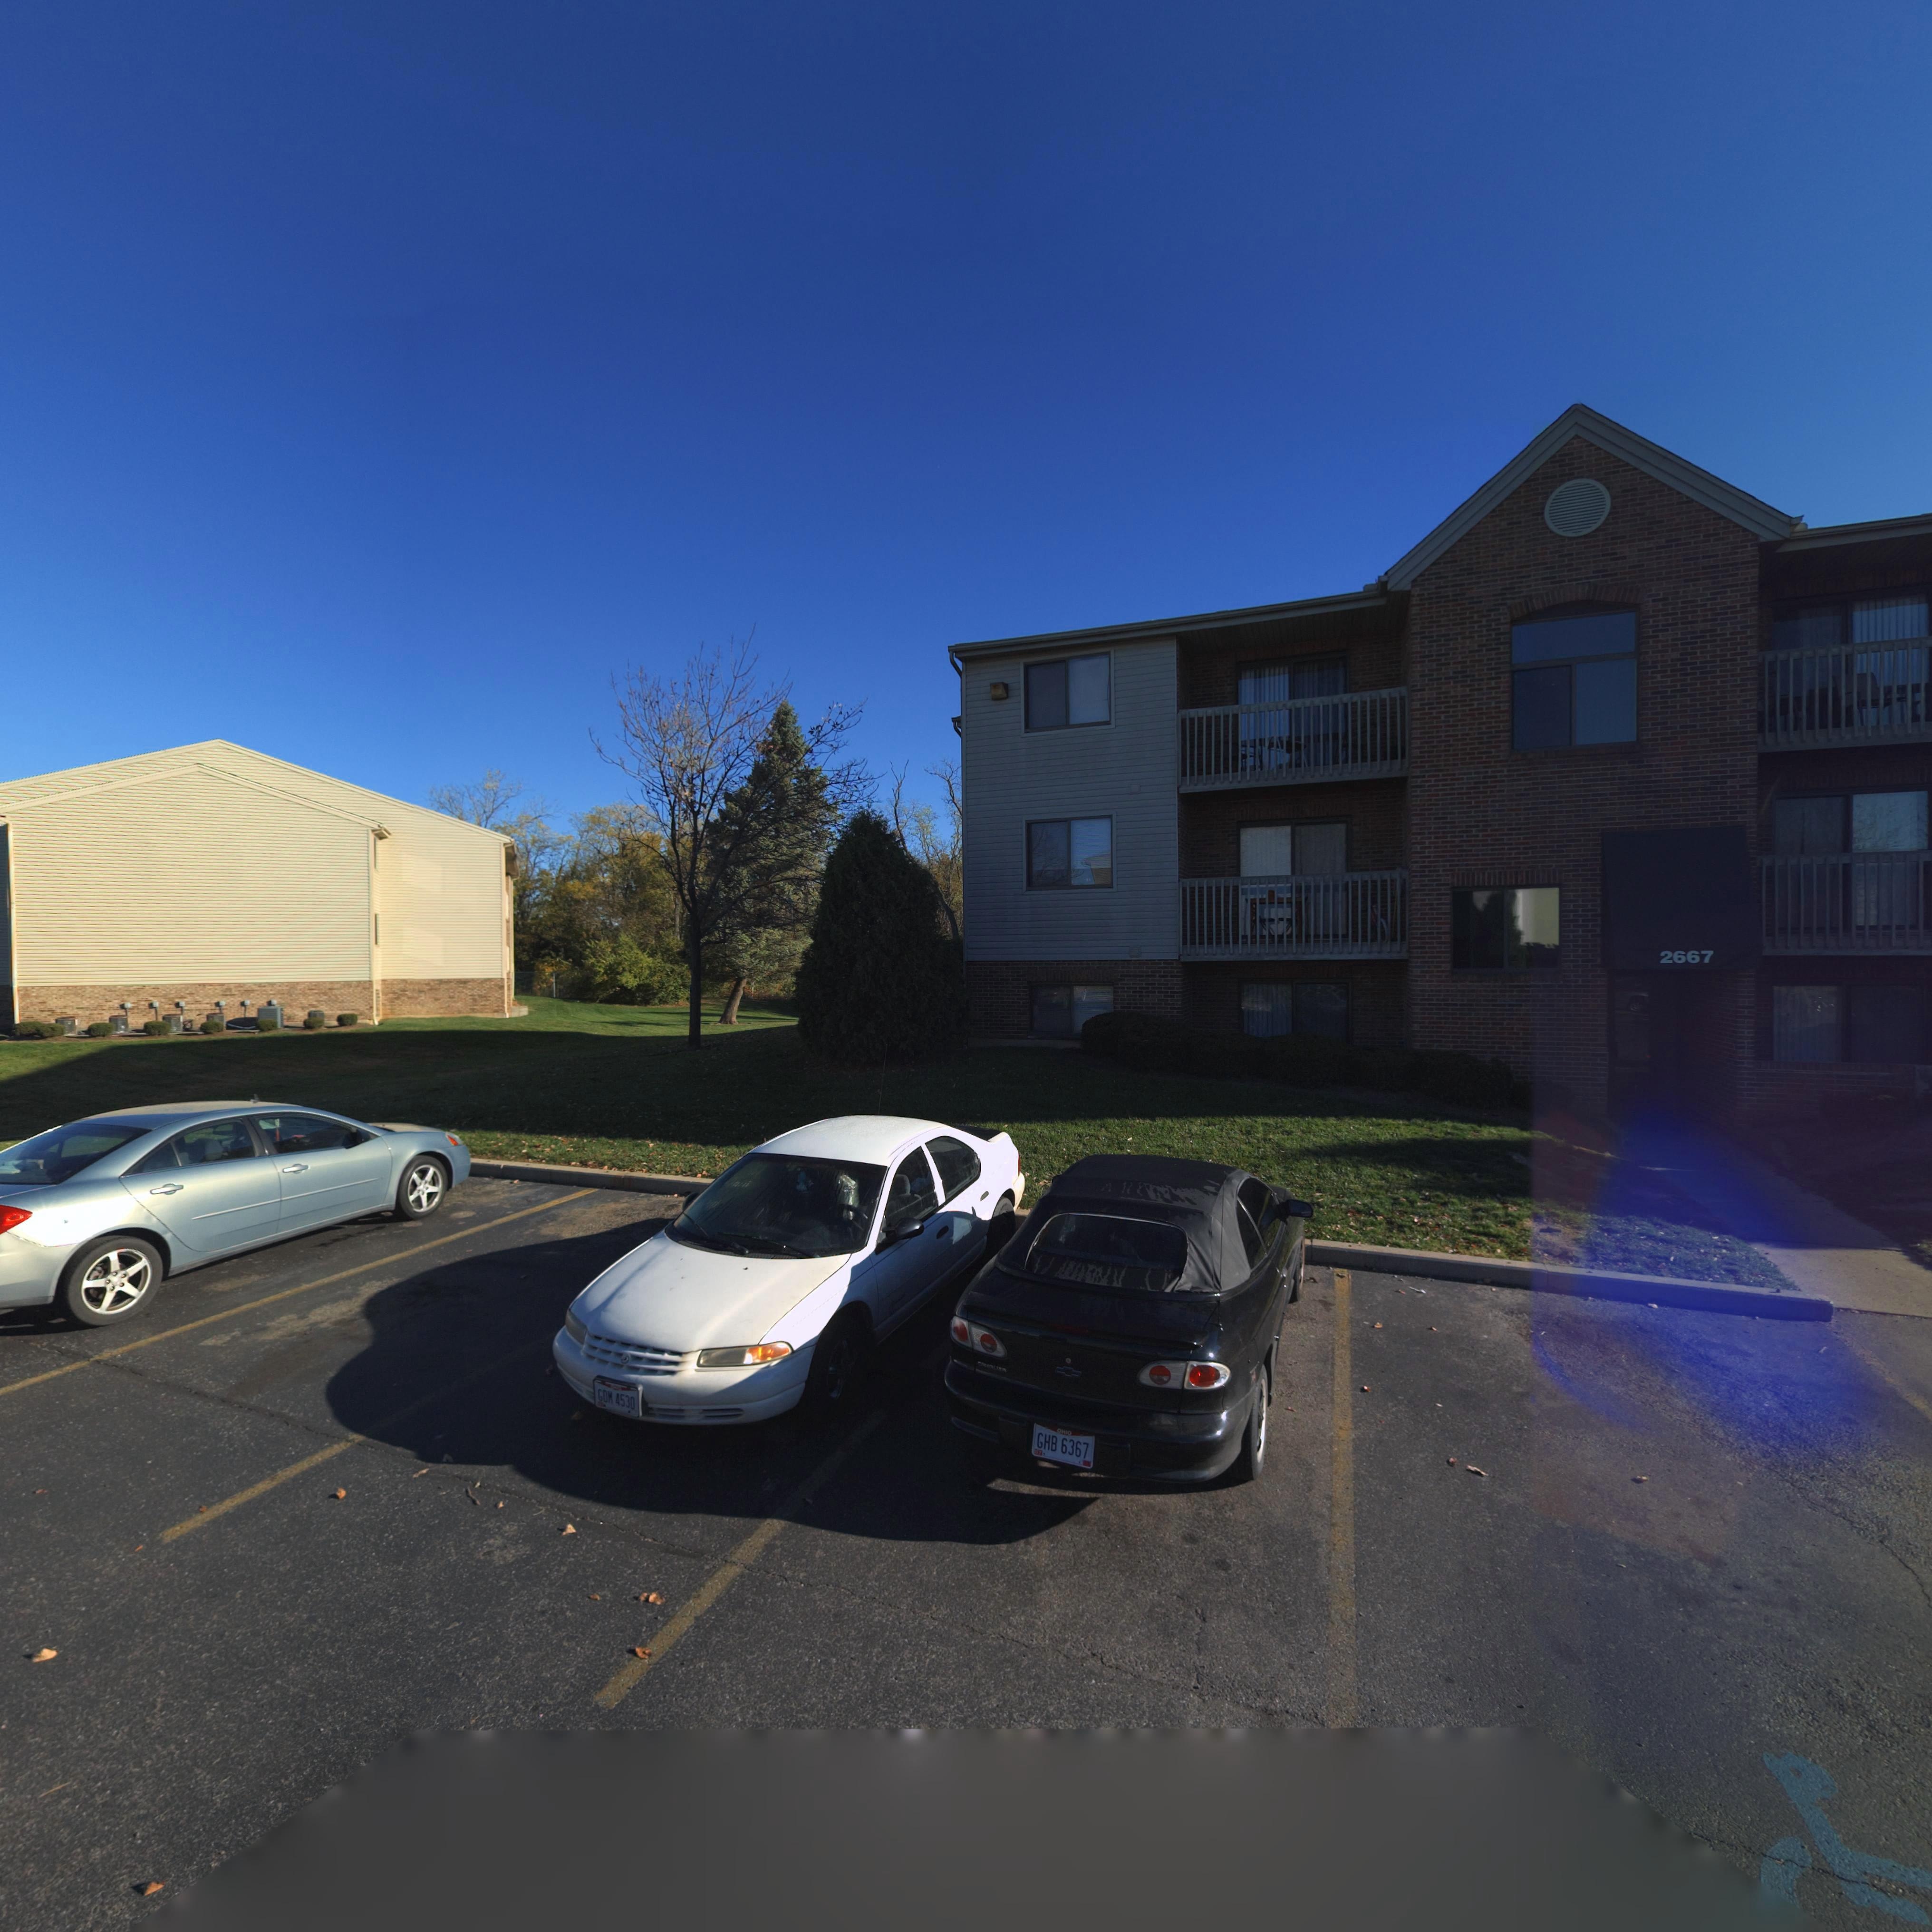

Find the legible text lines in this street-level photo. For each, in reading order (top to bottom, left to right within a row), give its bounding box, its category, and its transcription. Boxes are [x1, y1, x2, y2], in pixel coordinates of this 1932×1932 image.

[1659, 949, 1714, 964] StreetNumber: 2667